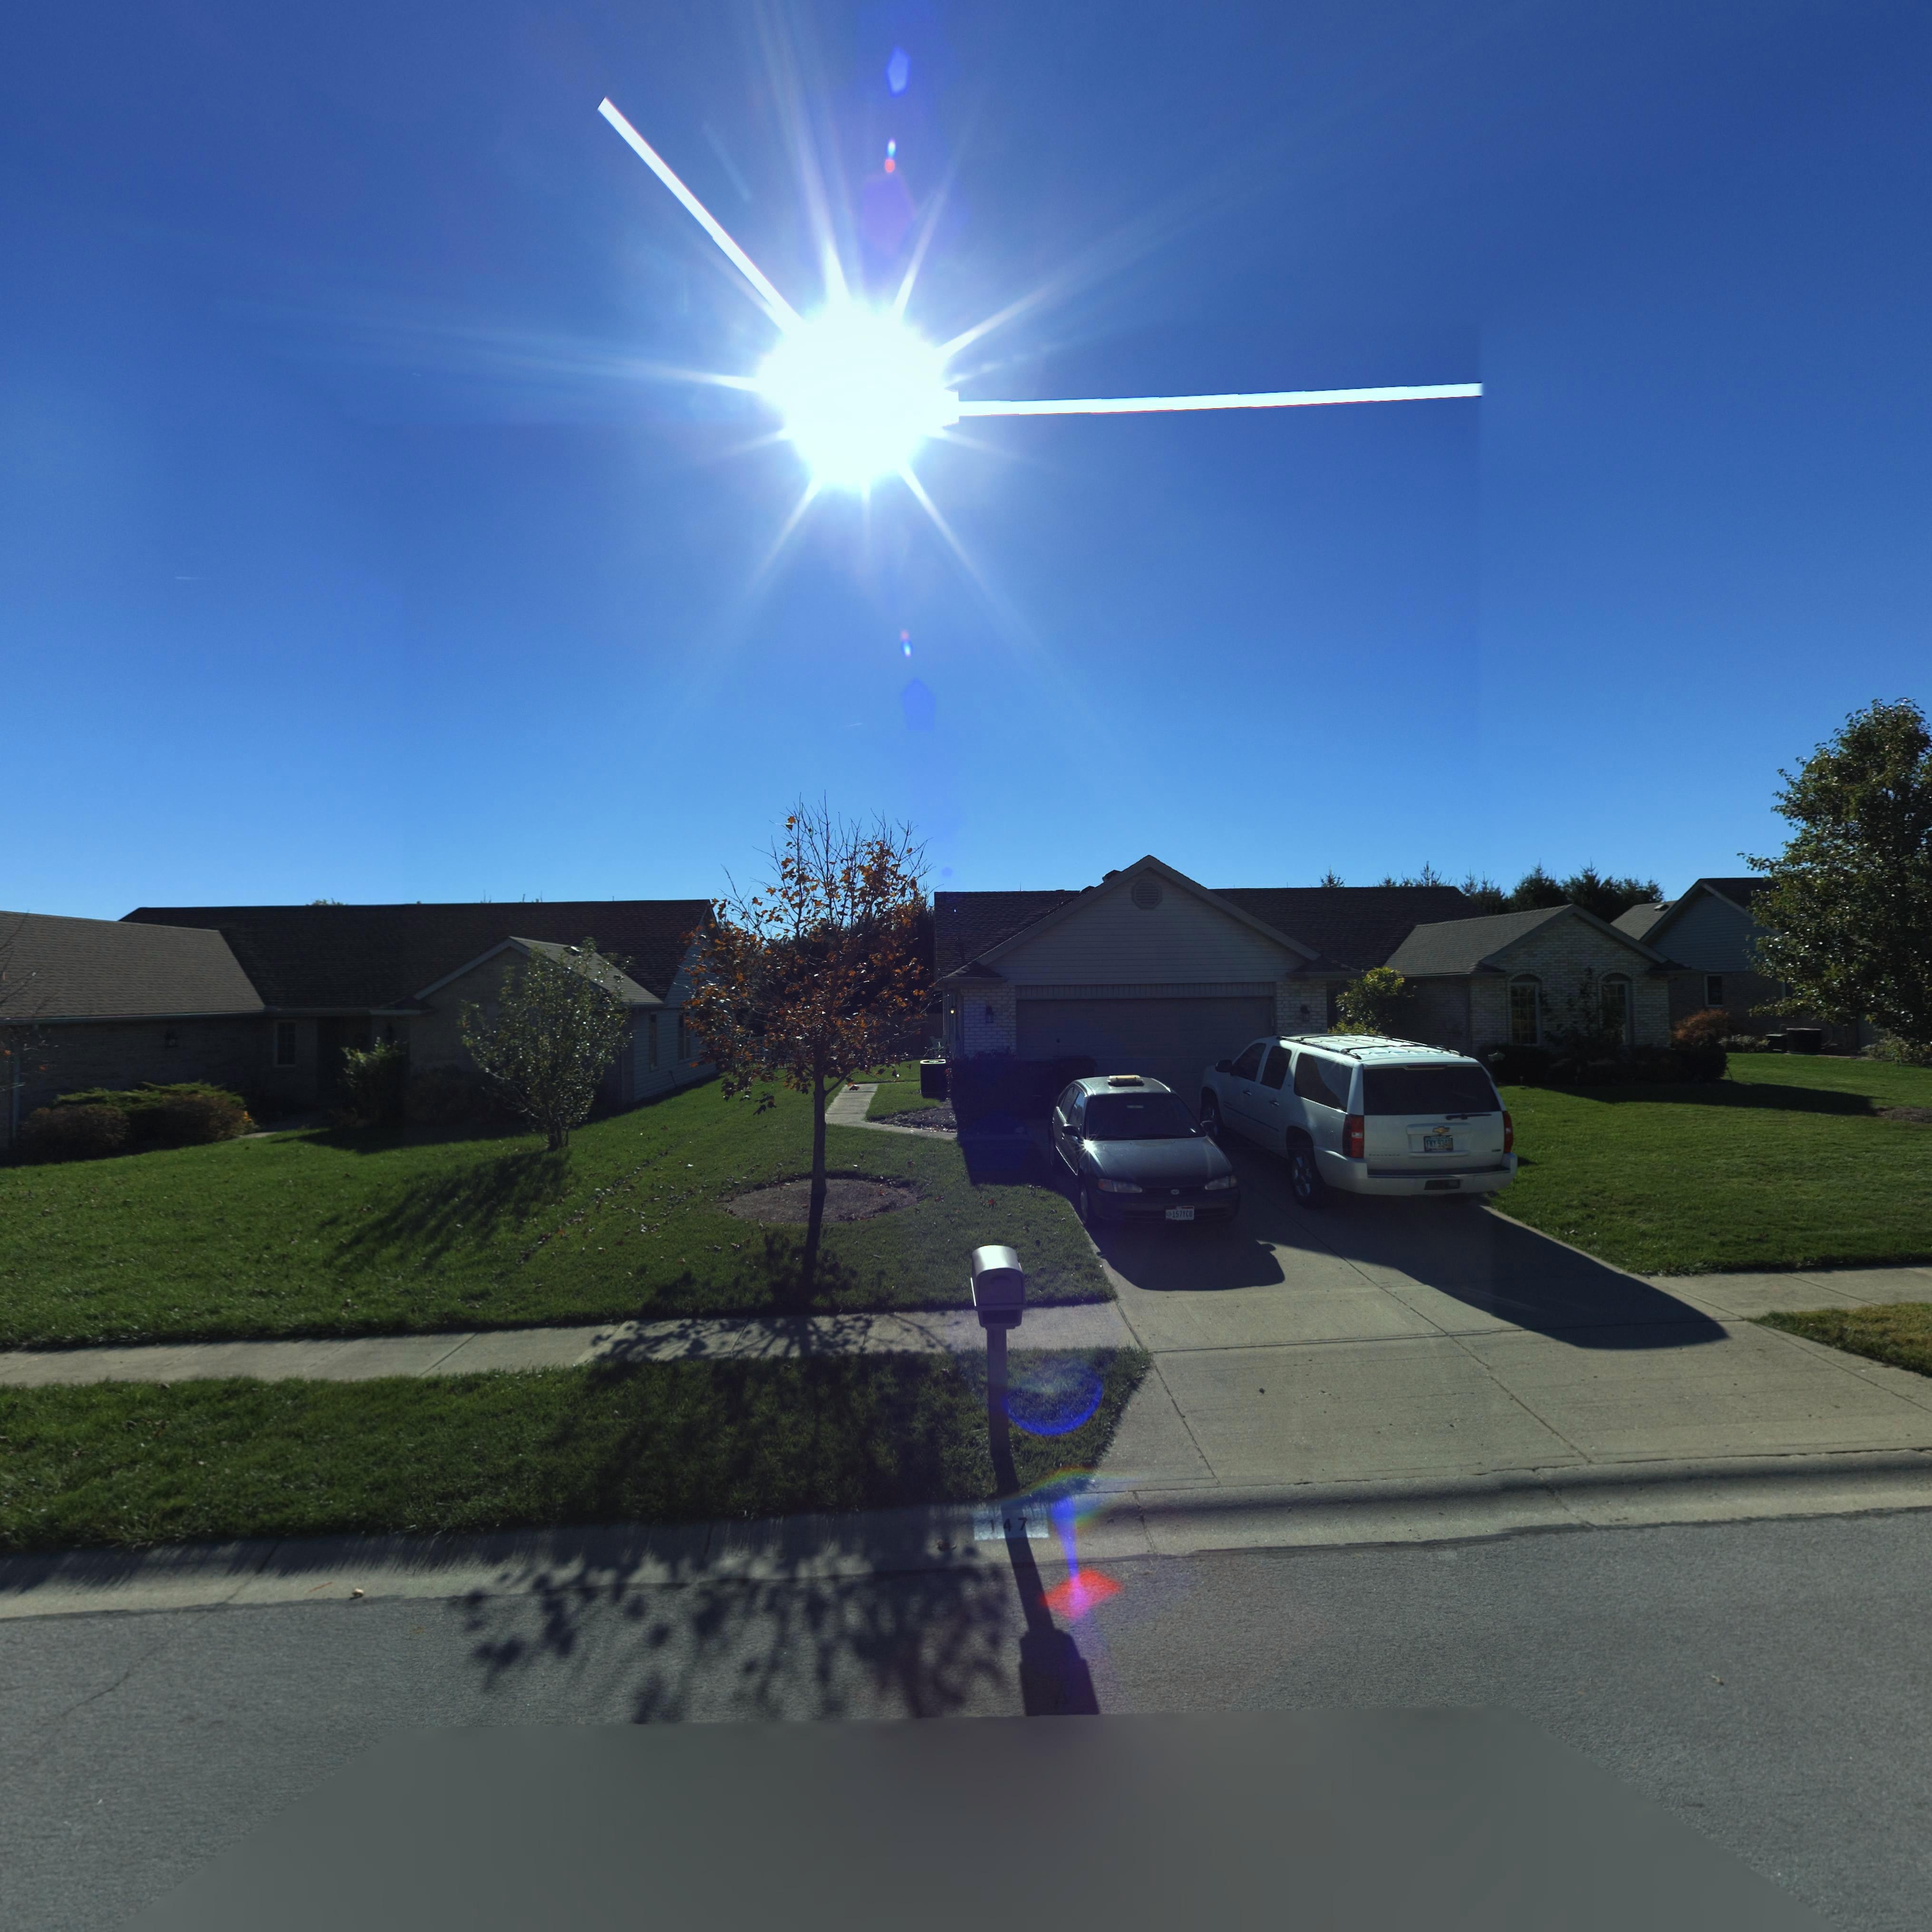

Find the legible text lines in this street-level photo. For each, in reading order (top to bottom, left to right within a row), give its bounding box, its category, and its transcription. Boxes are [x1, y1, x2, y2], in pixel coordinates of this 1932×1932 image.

[1425, 1138, 1450, 1147] None: FKY 934*
[1171, 1209, 1192, 1217] None: 157YCU
[988, 1517, 1028, 1532] StreetNumber: 147